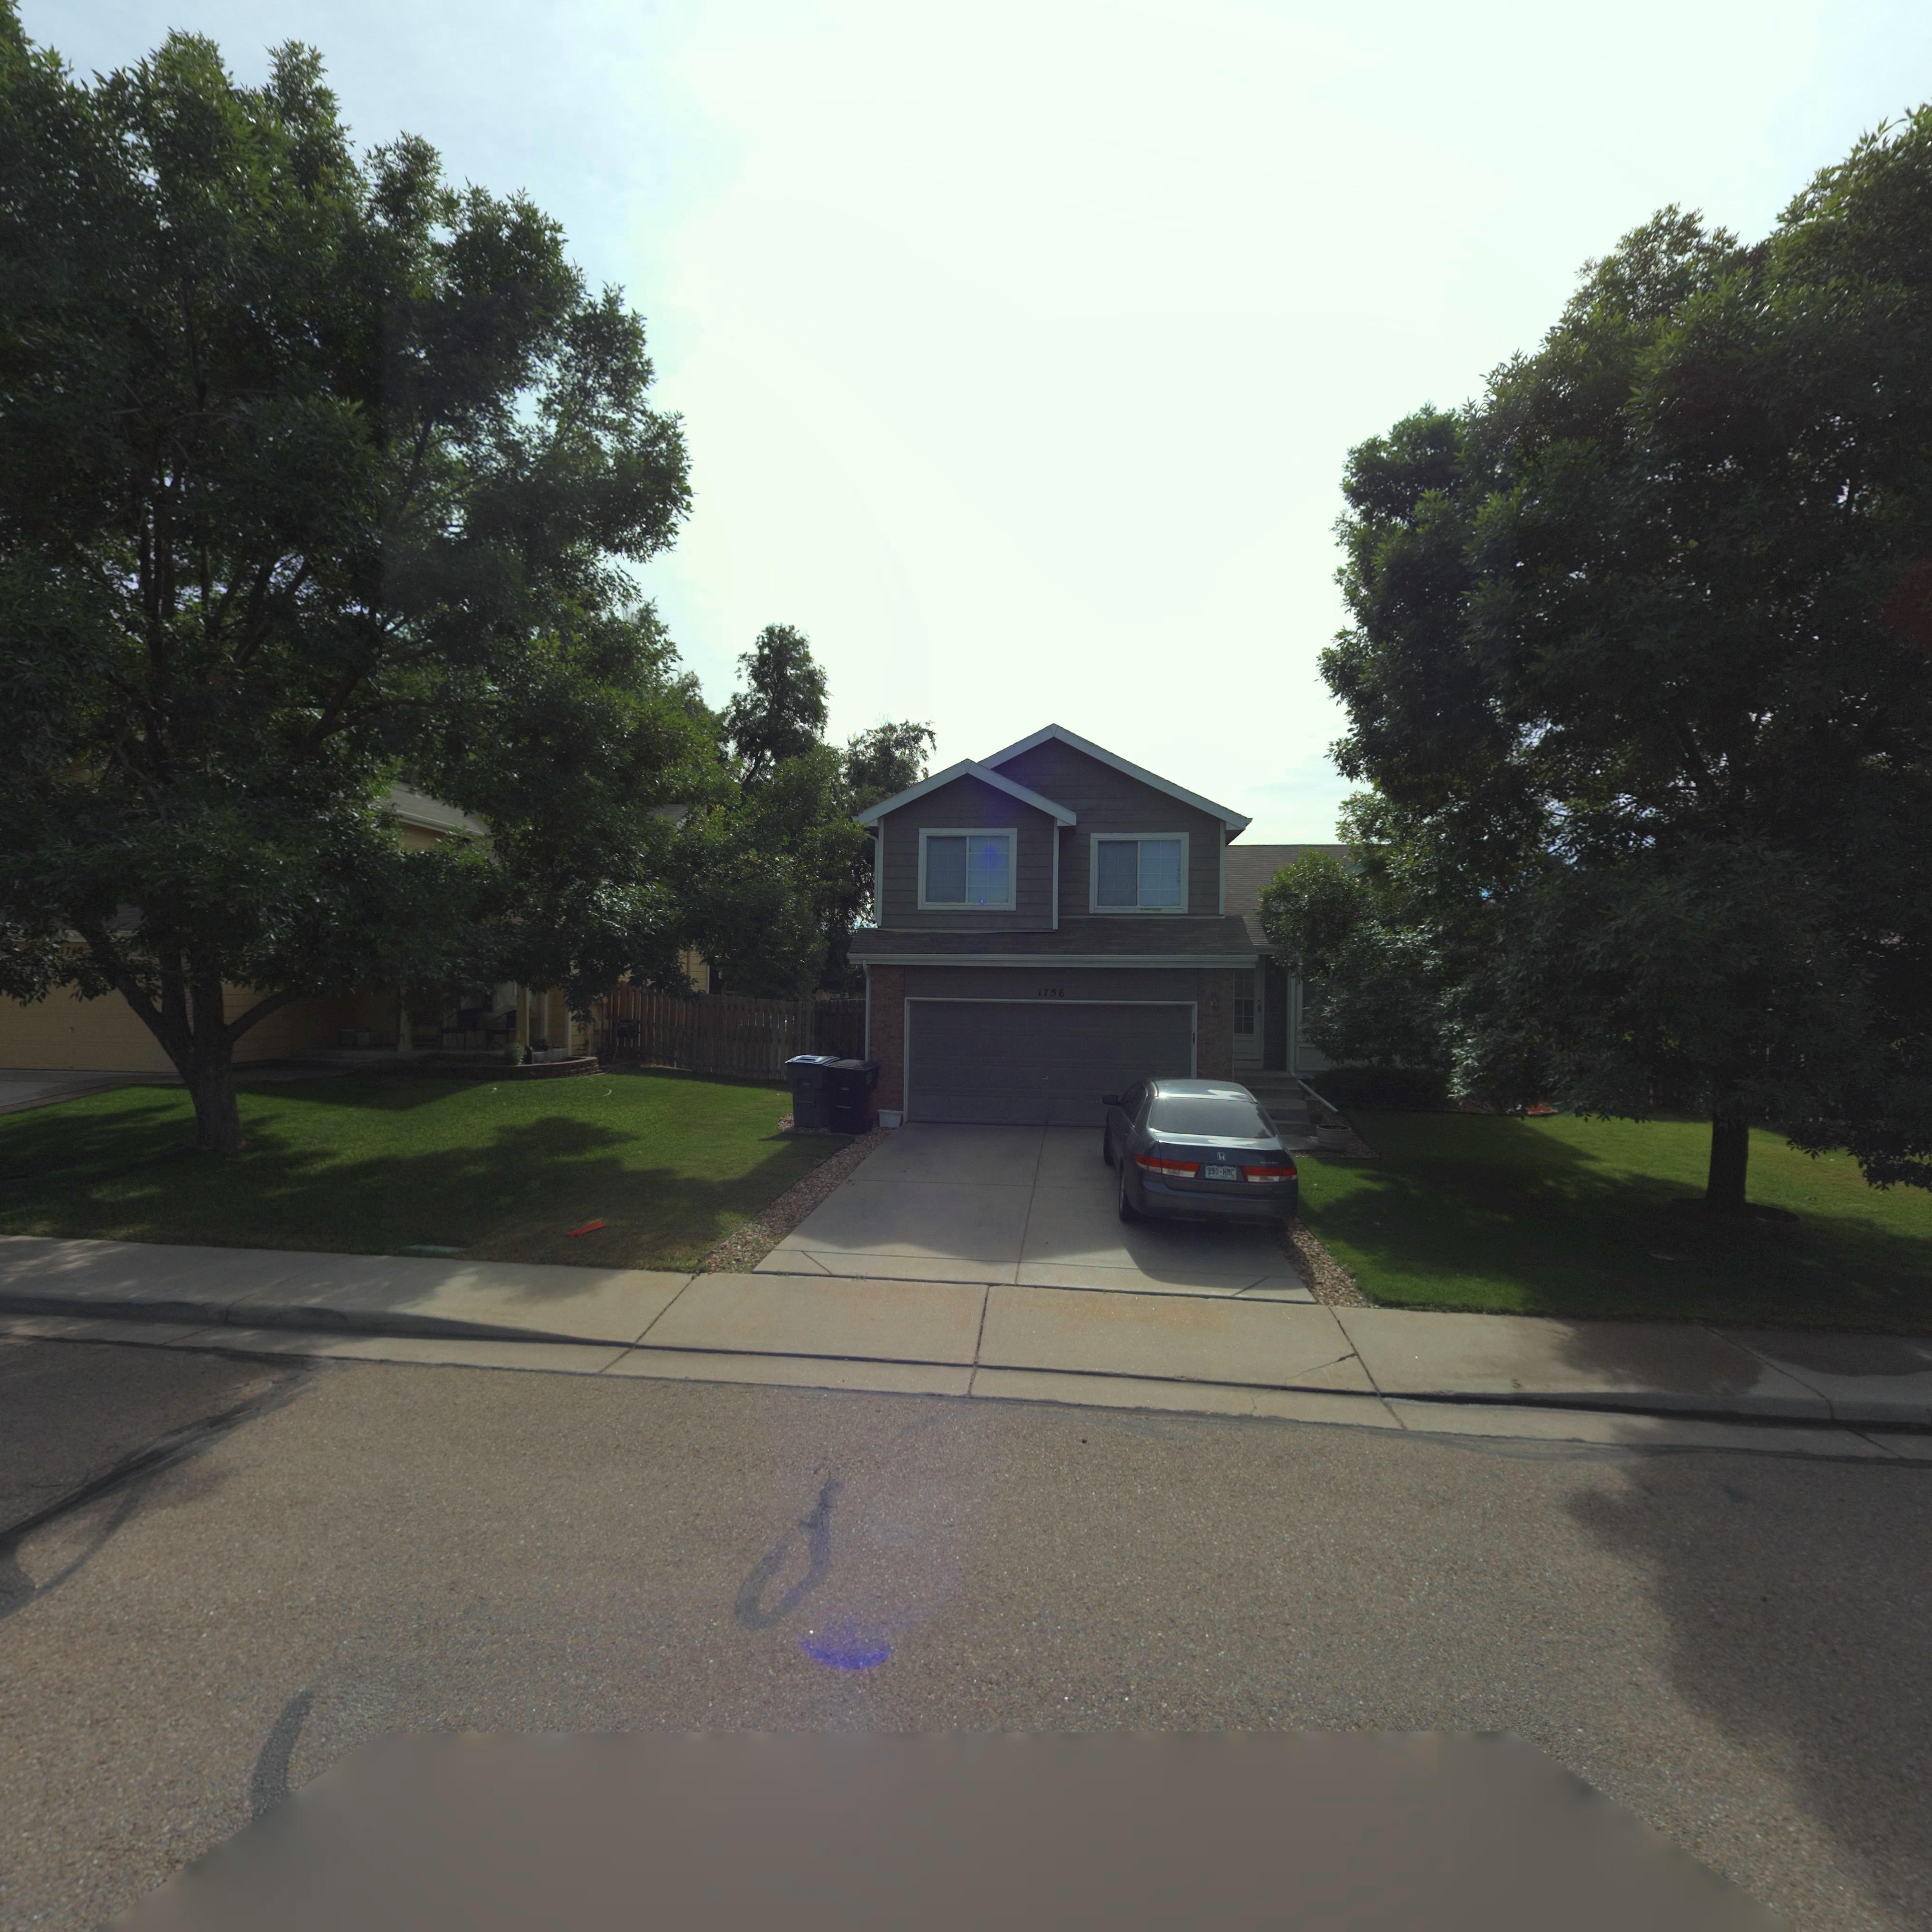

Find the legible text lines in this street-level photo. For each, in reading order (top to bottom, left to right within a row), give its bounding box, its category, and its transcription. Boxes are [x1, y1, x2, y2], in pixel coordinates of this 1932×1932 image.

[1038, 987, 1065, 998] None: 1756